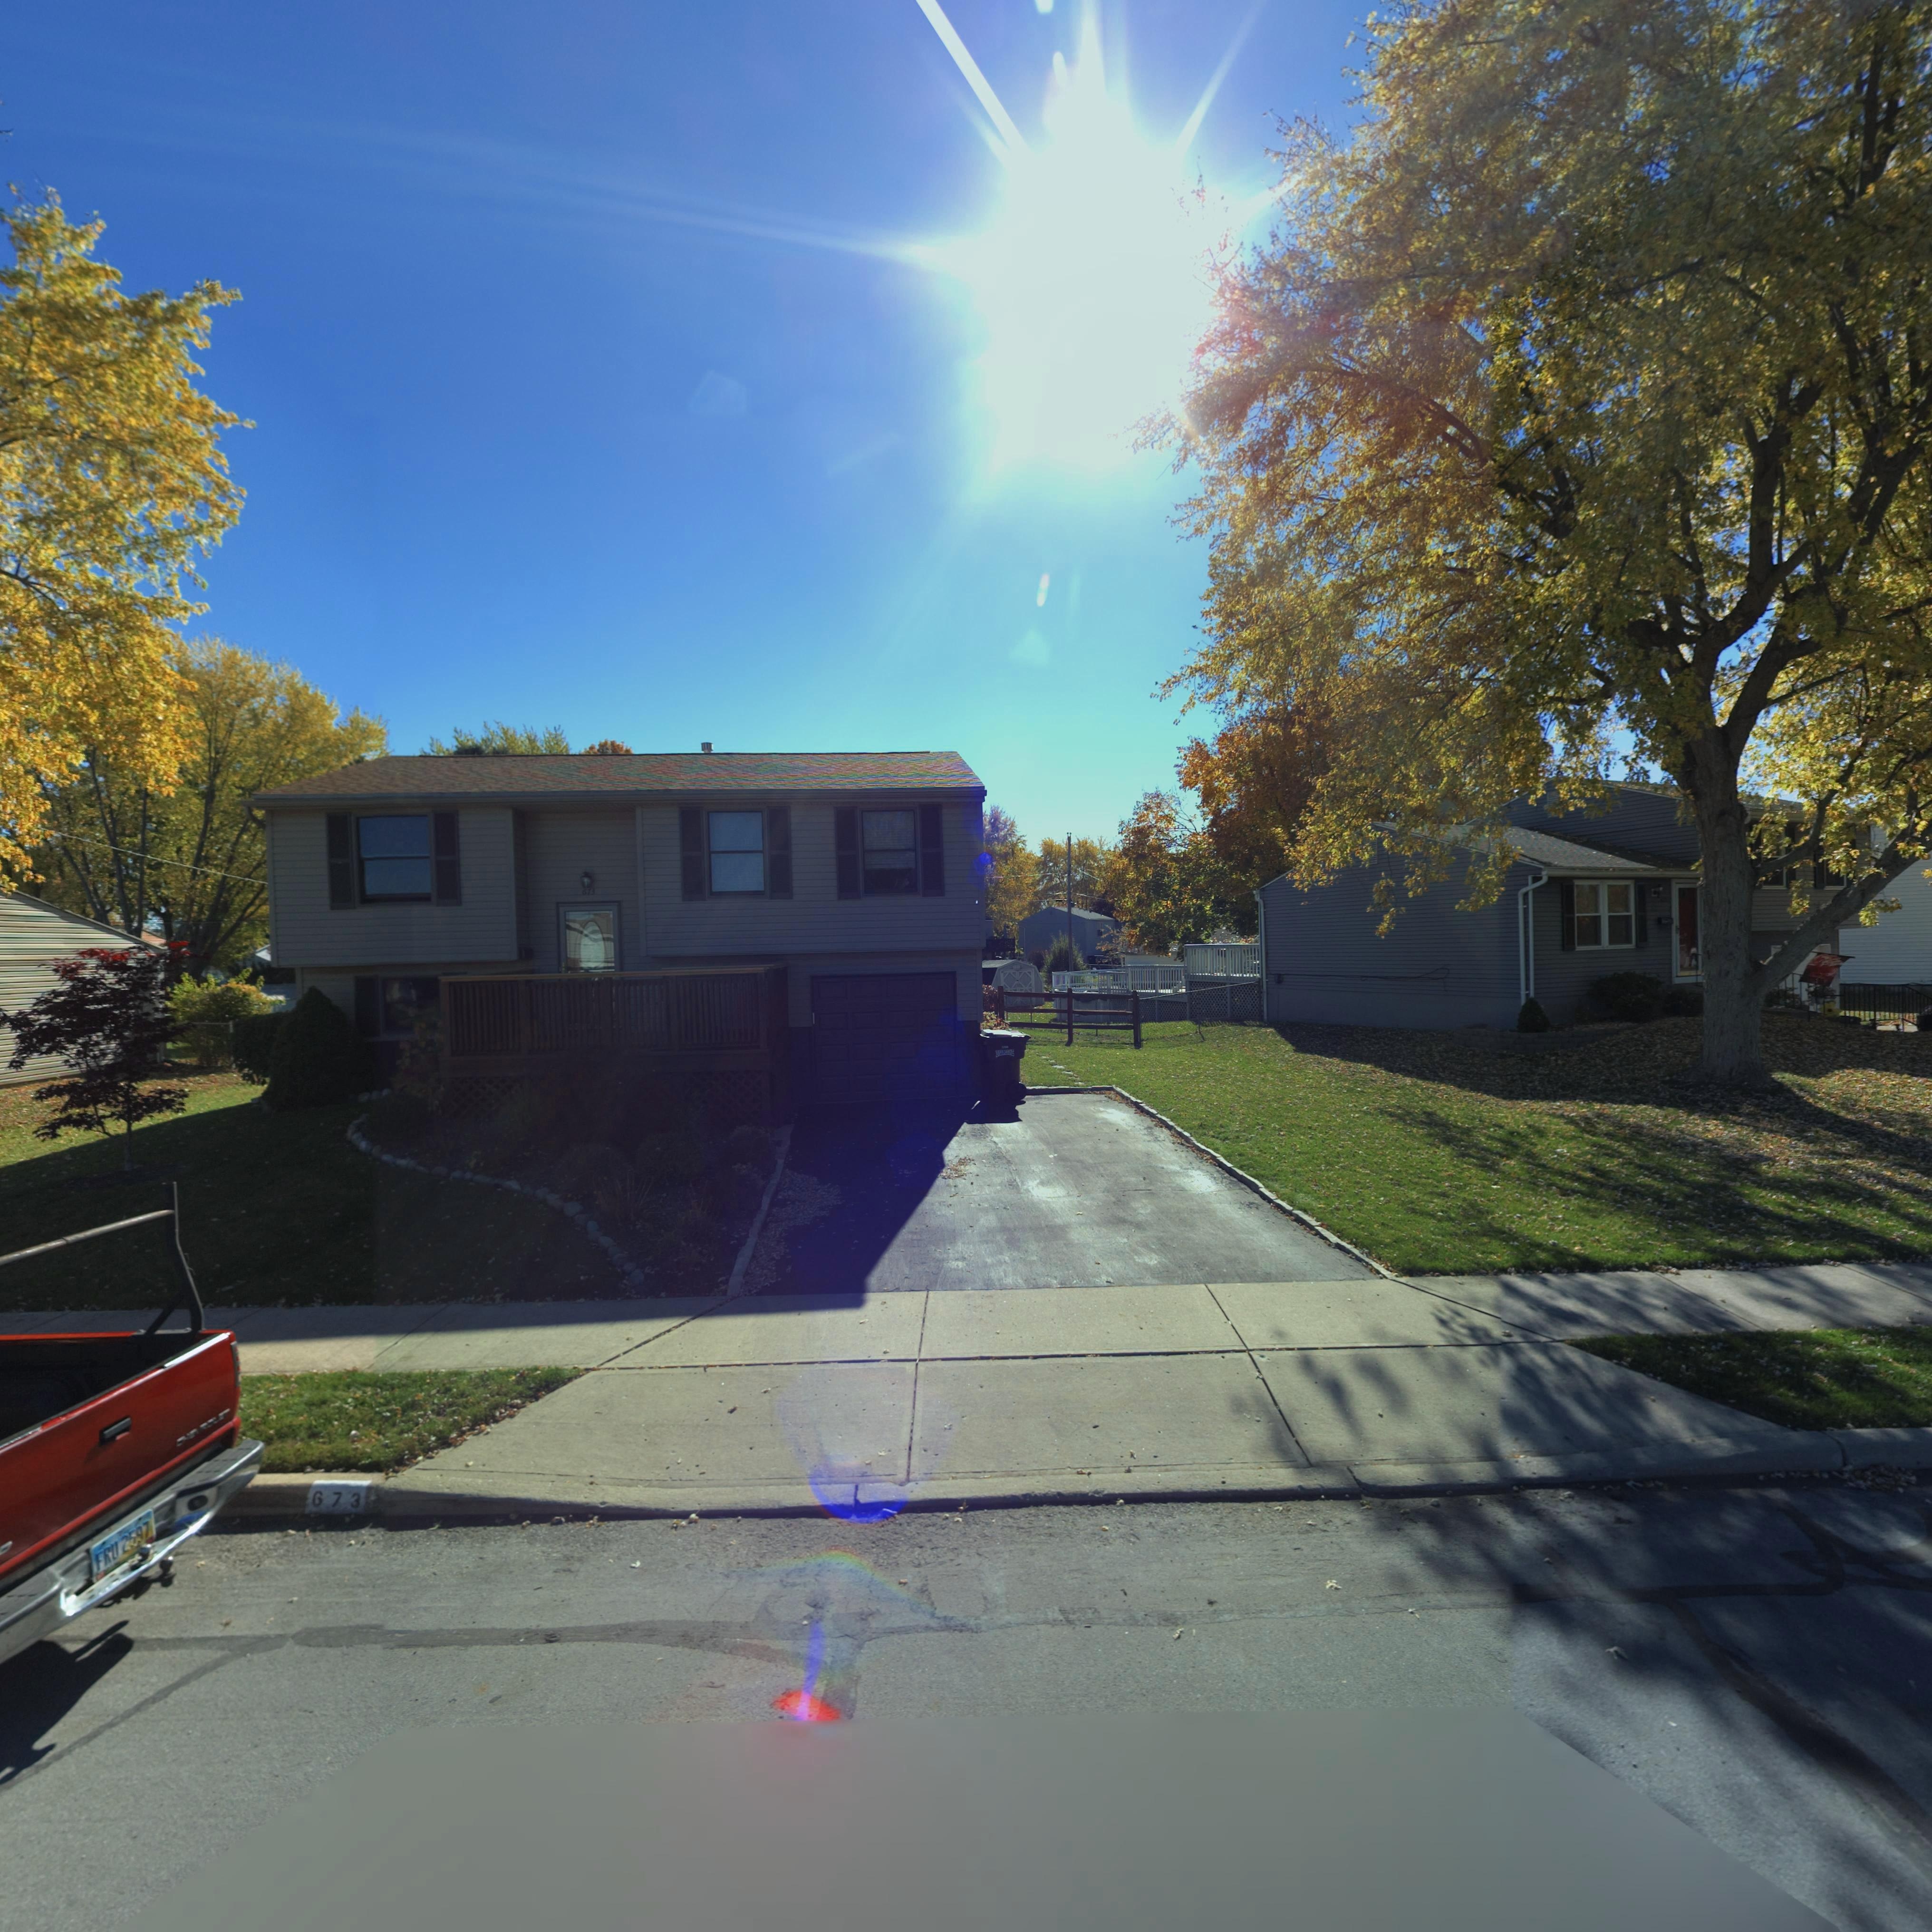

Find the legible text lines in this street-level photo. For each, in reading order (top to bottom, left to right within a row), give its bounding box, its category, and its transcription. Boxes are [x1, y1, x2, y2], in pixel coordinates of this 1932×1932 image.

[581, 888, 596, 896] StreetNumber: 673
[311, 1489, 363, 1510] StreetNumber: 673
[91, 1517, 151, 1576] None: FRU 2597